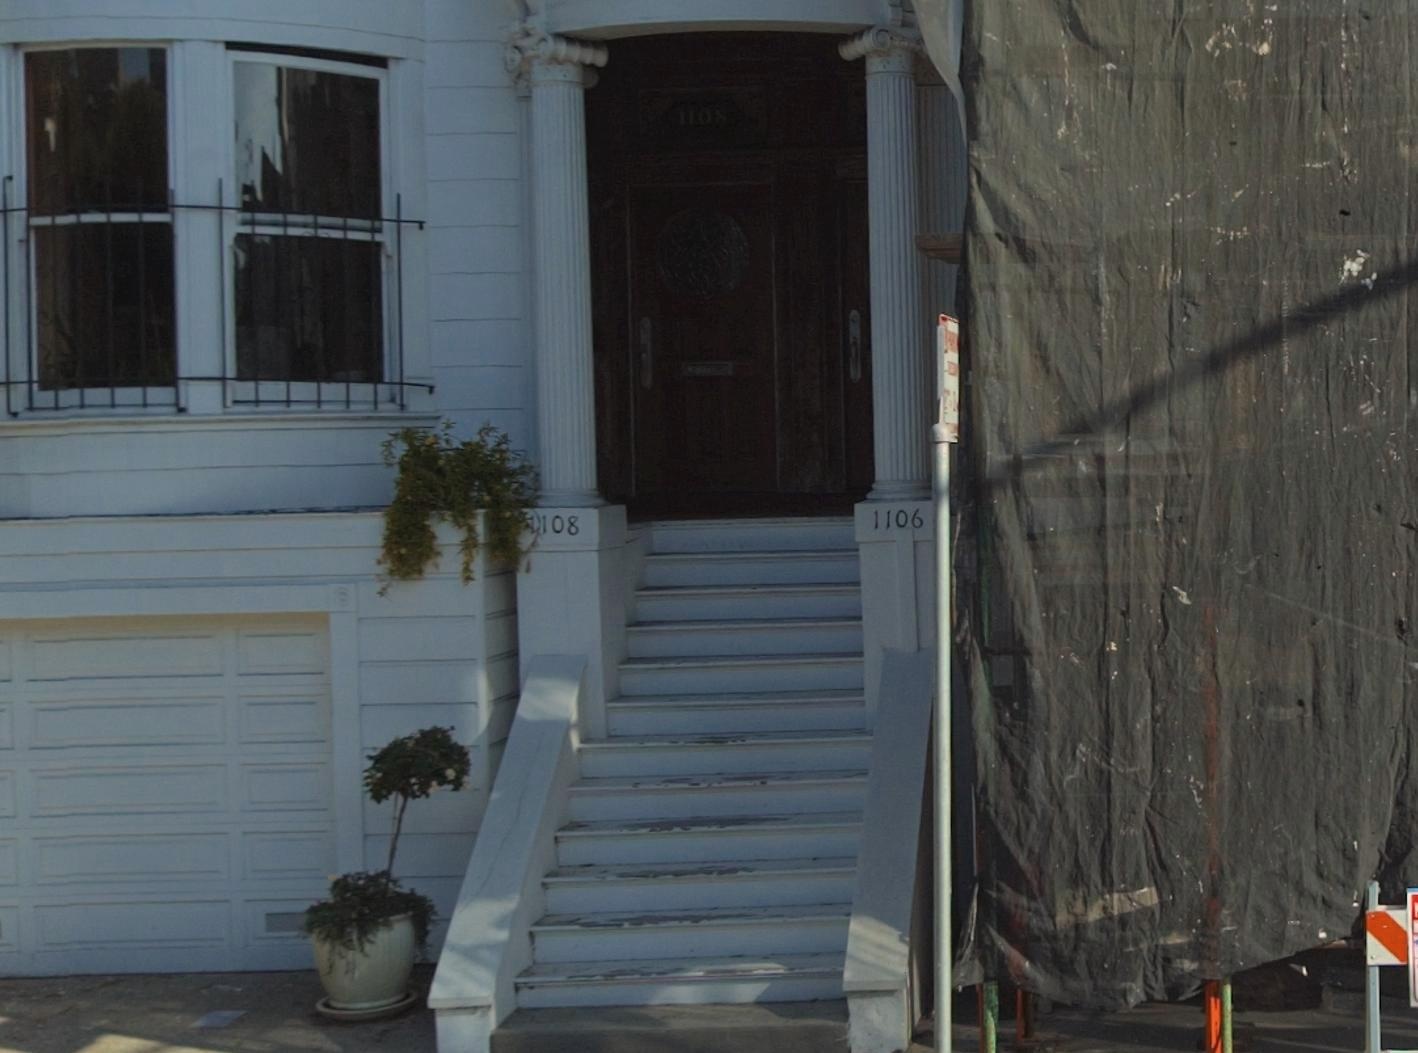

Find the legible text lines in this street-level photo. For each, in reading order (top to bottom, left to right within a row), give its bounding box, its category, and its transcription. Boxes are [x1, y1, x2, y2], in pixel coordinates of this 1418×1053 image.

[524, 512, 581, 538] StreetNumber: 1108
[870, 506, 924, 532] StreetNumber: 1106